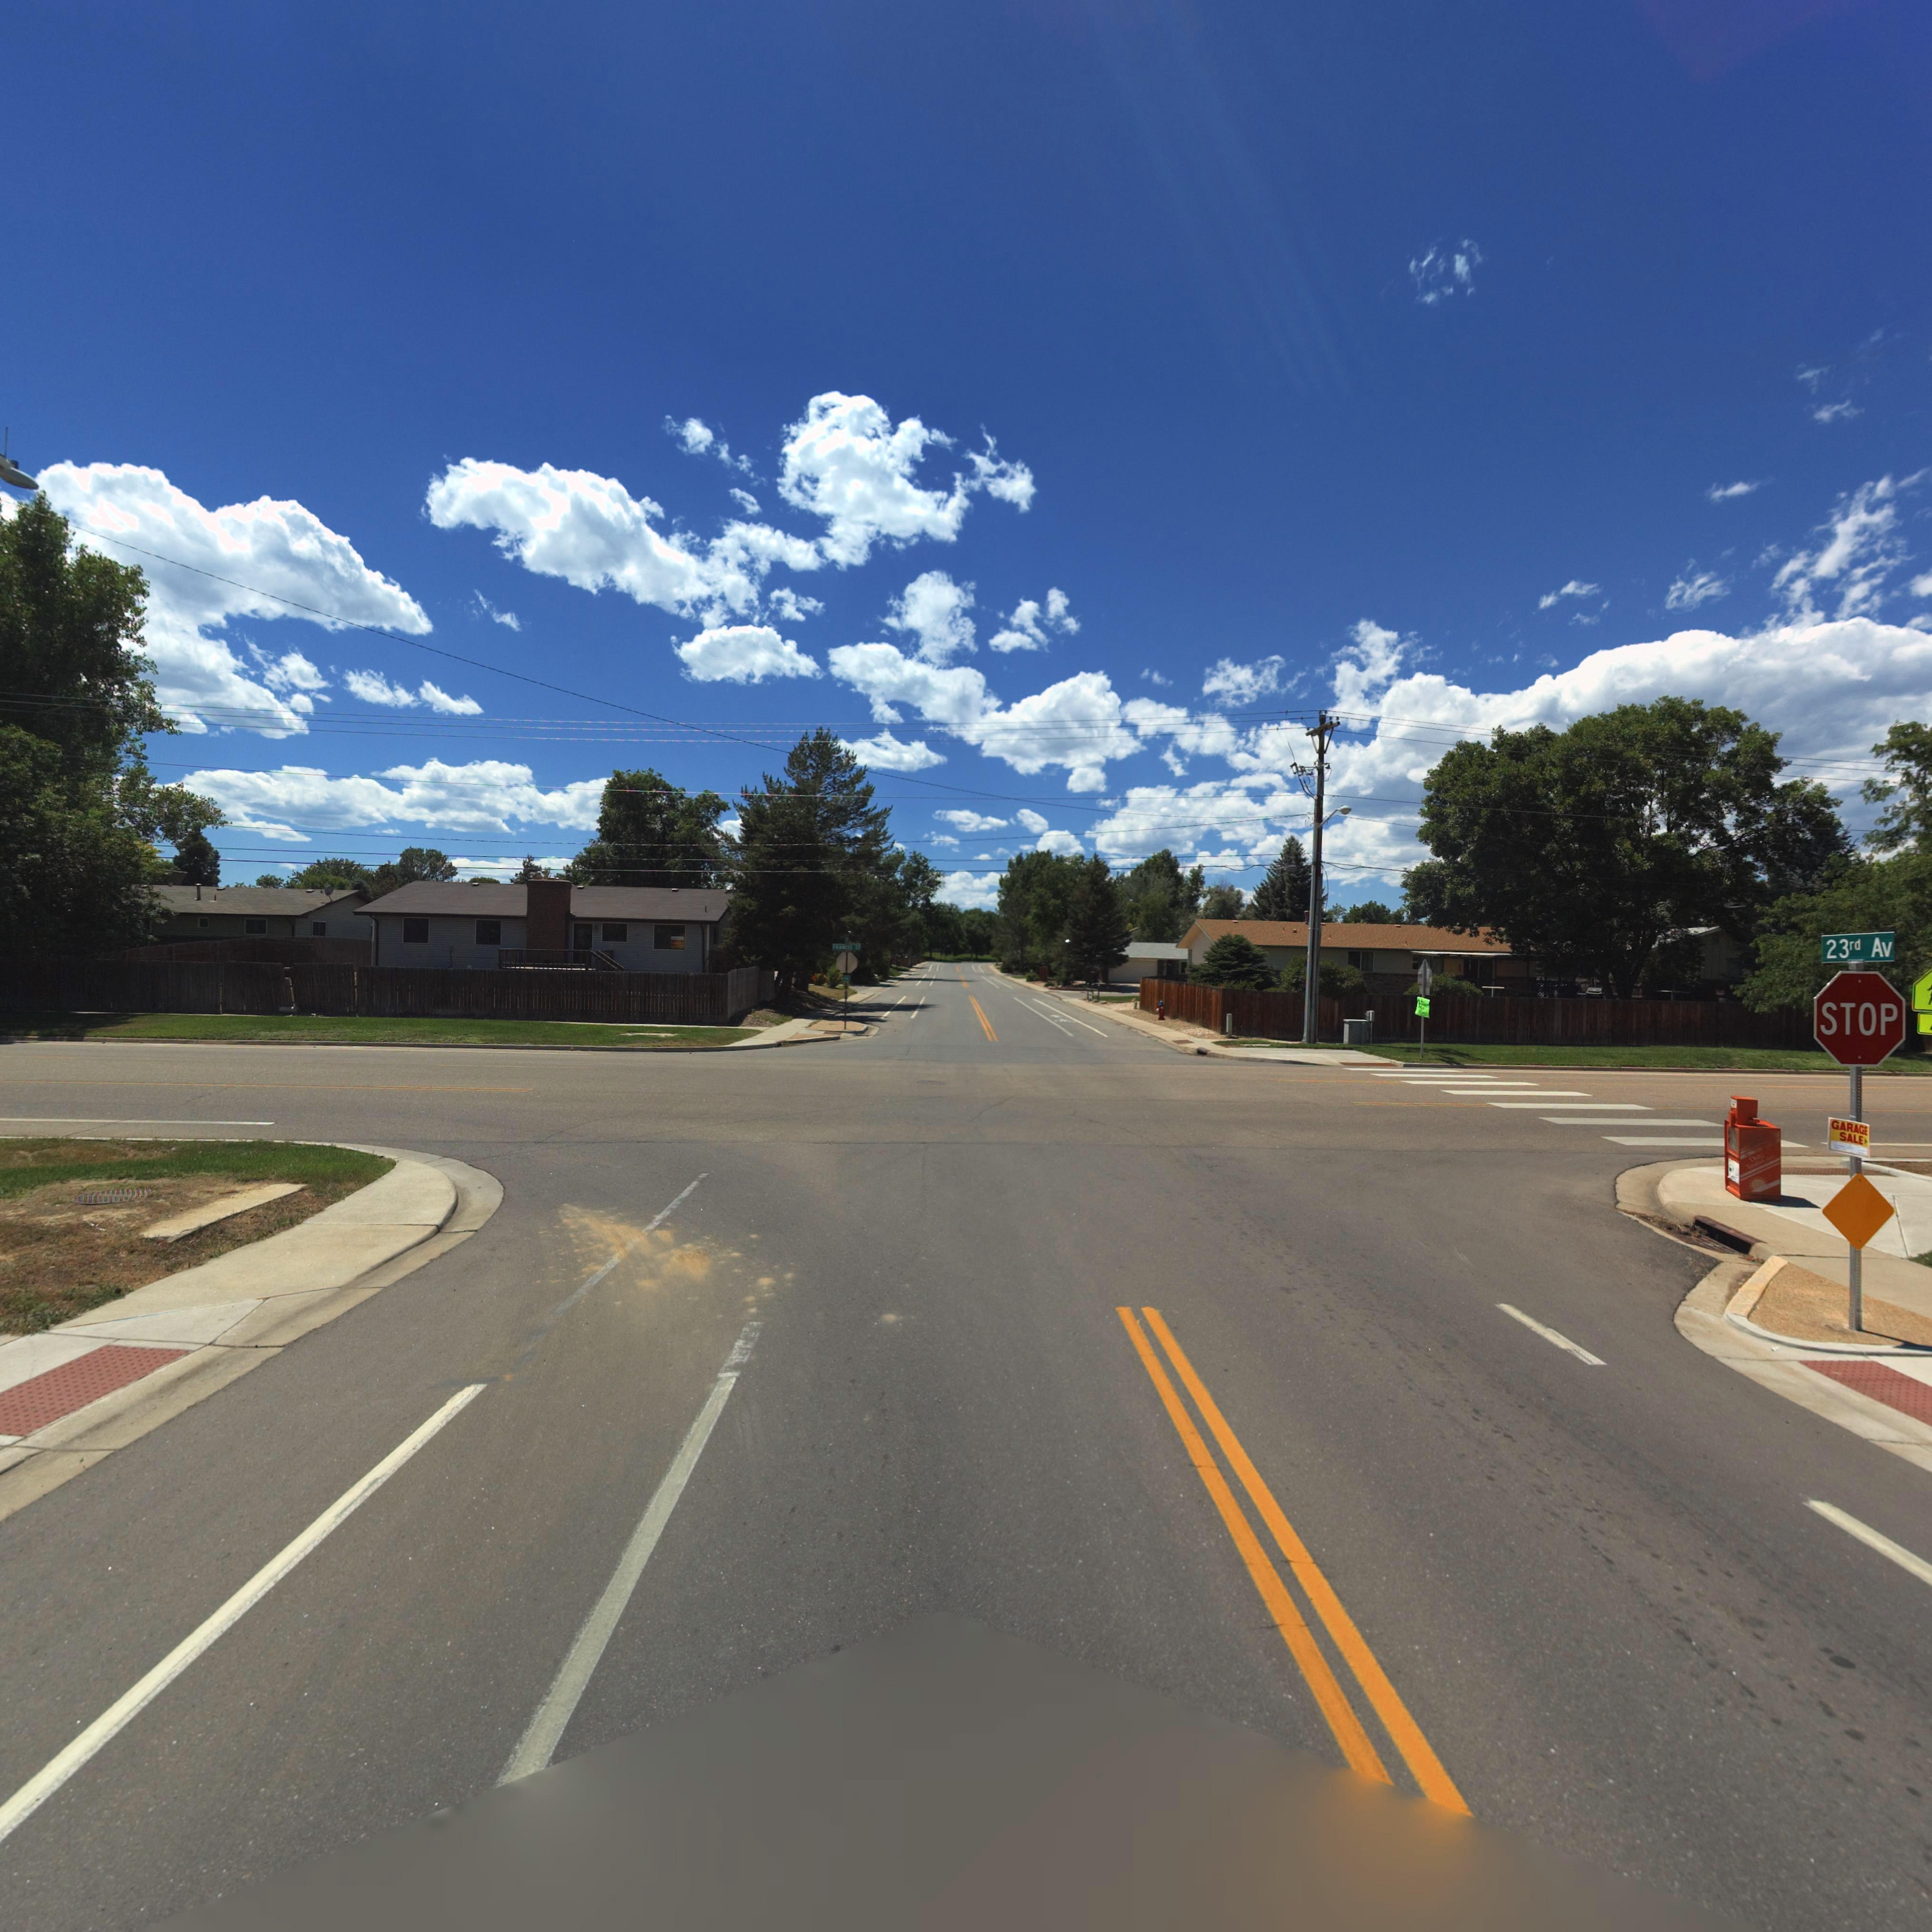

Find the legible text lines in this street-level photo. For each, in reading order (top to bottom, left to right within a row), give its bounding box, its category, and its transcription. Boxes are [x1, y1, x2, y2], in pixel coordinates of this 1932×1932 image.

[832, 945, 860, 949] StreetName: FRANCIS ST
[1825, 936, 1893, 960] StreetName: 23rd Av